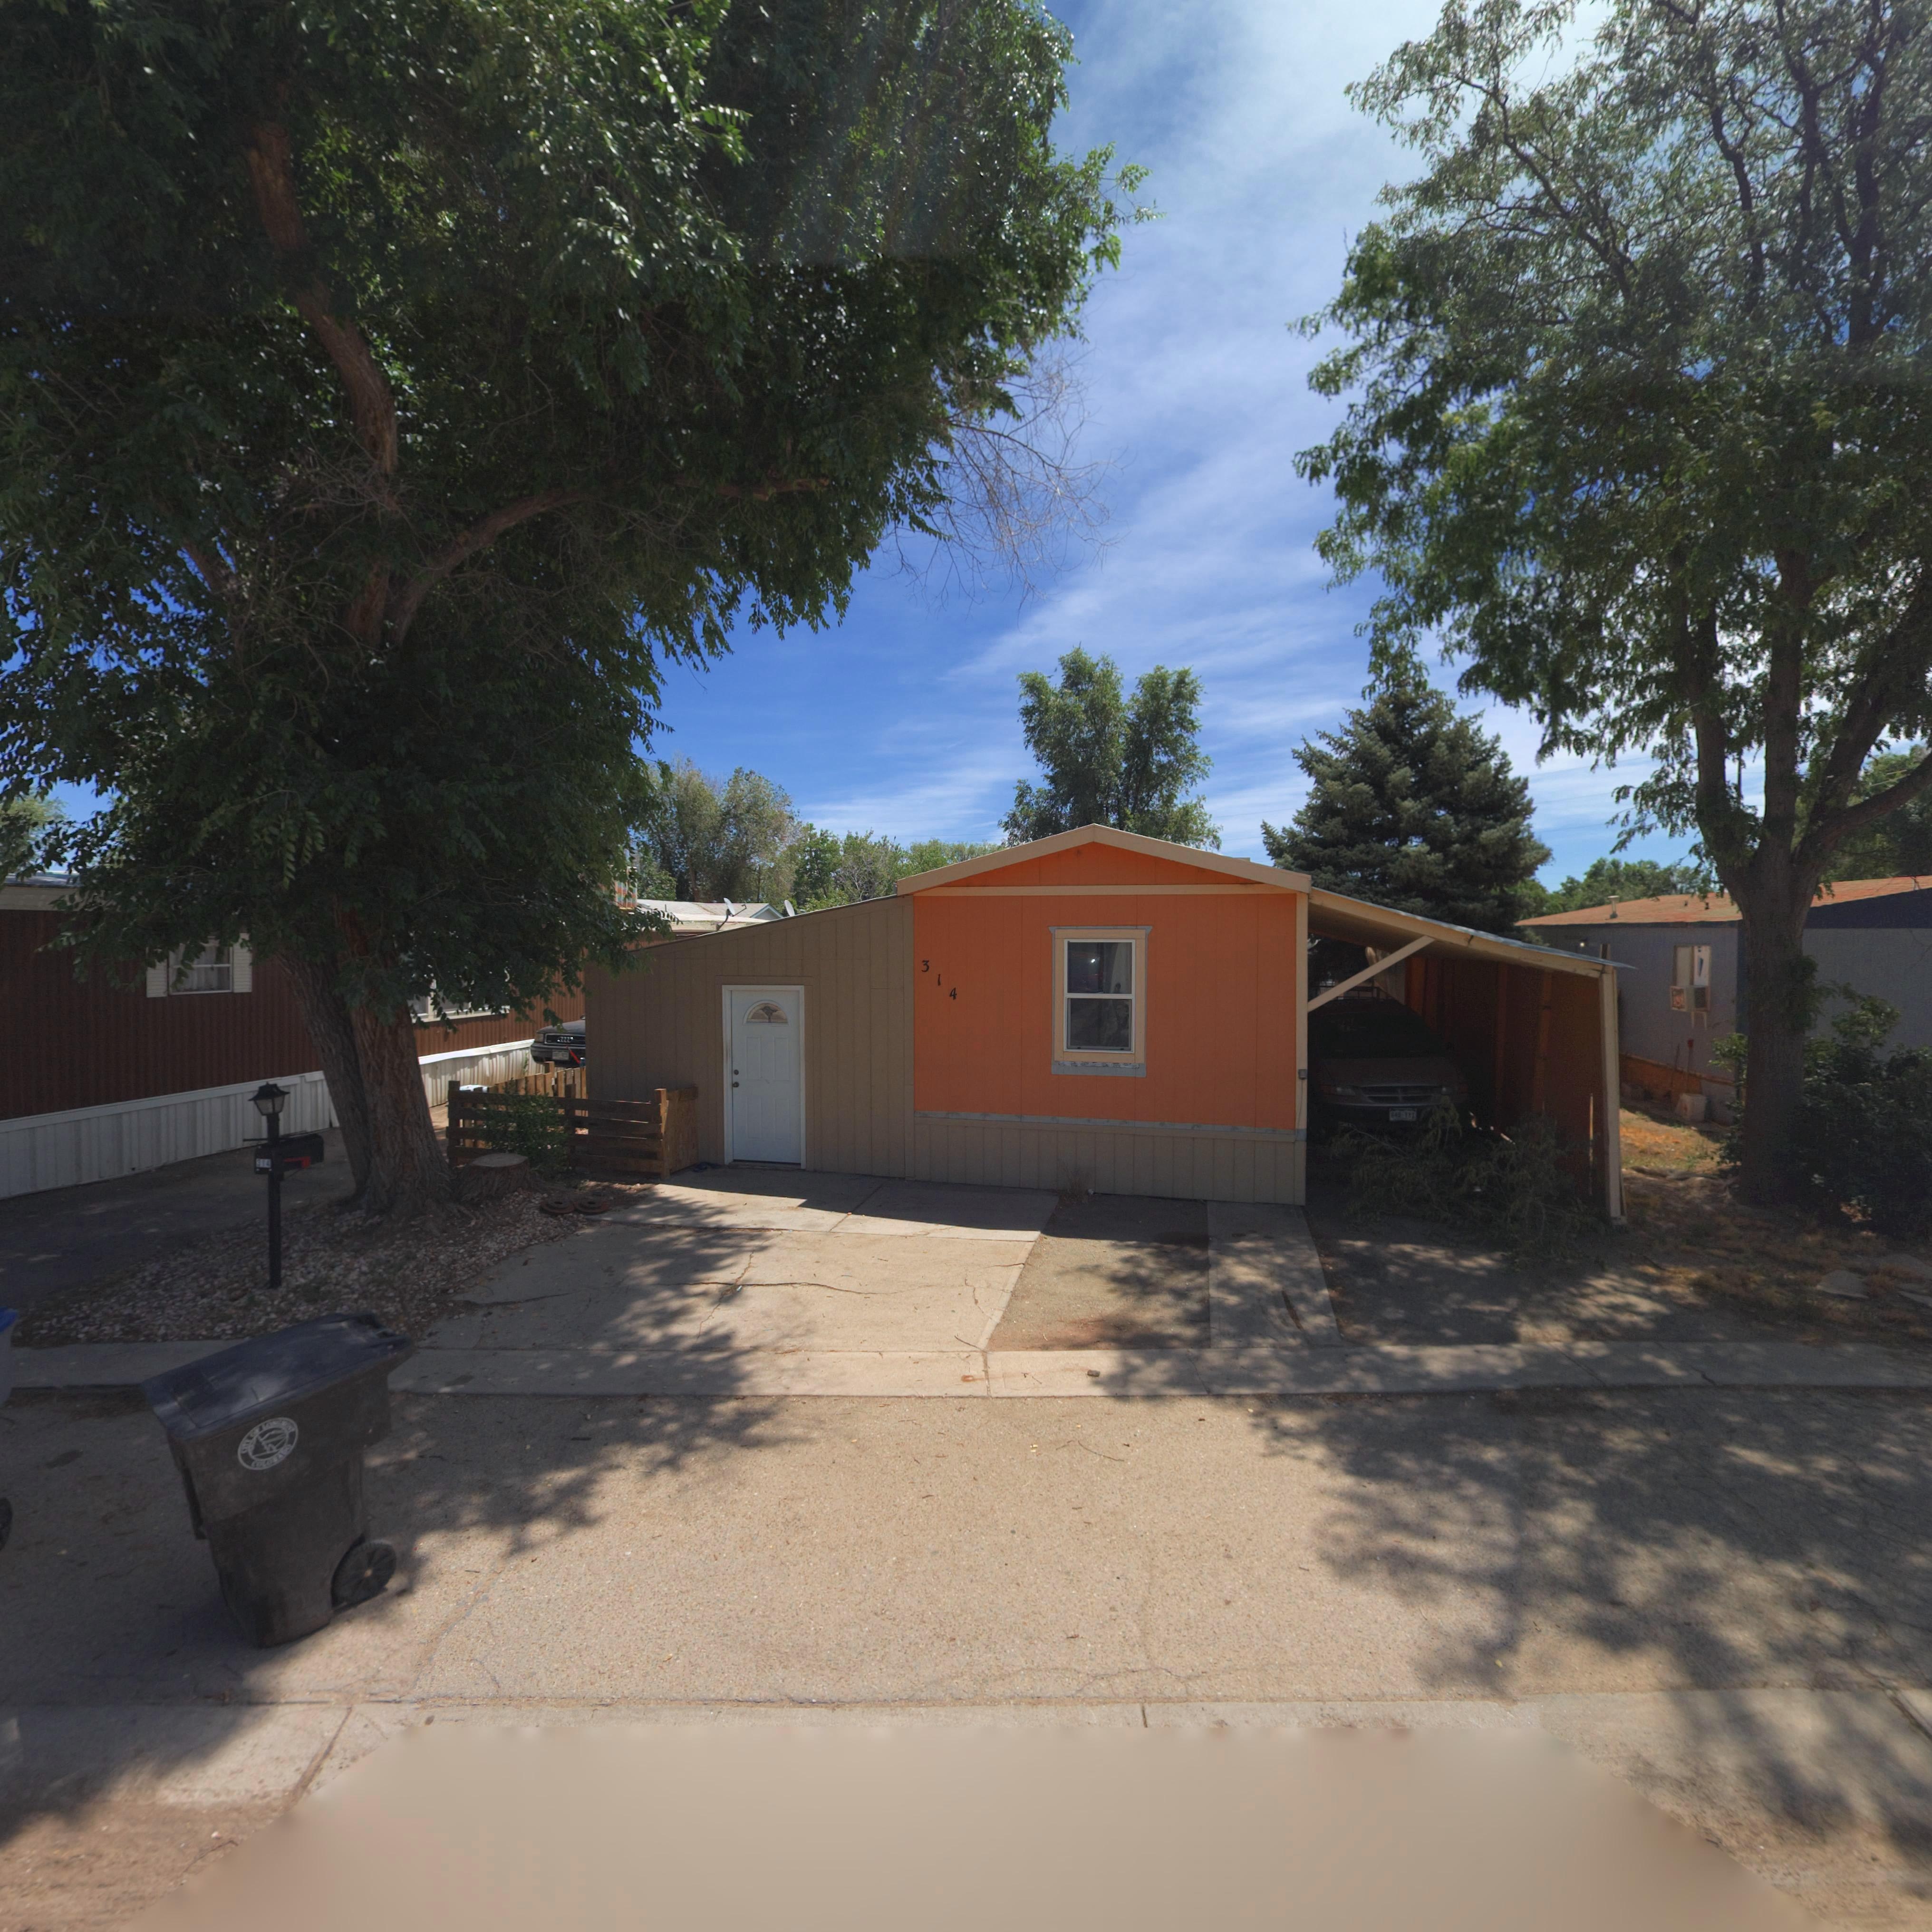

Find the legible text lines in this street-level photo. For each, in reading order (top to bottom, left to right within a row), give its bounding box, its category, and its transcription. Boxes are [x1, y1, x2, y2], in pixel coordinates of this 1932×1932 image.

[921, 959, 957, 1000] StreetNumber: 314
[257, 1159, 270, 1167] StreetNumber: 314